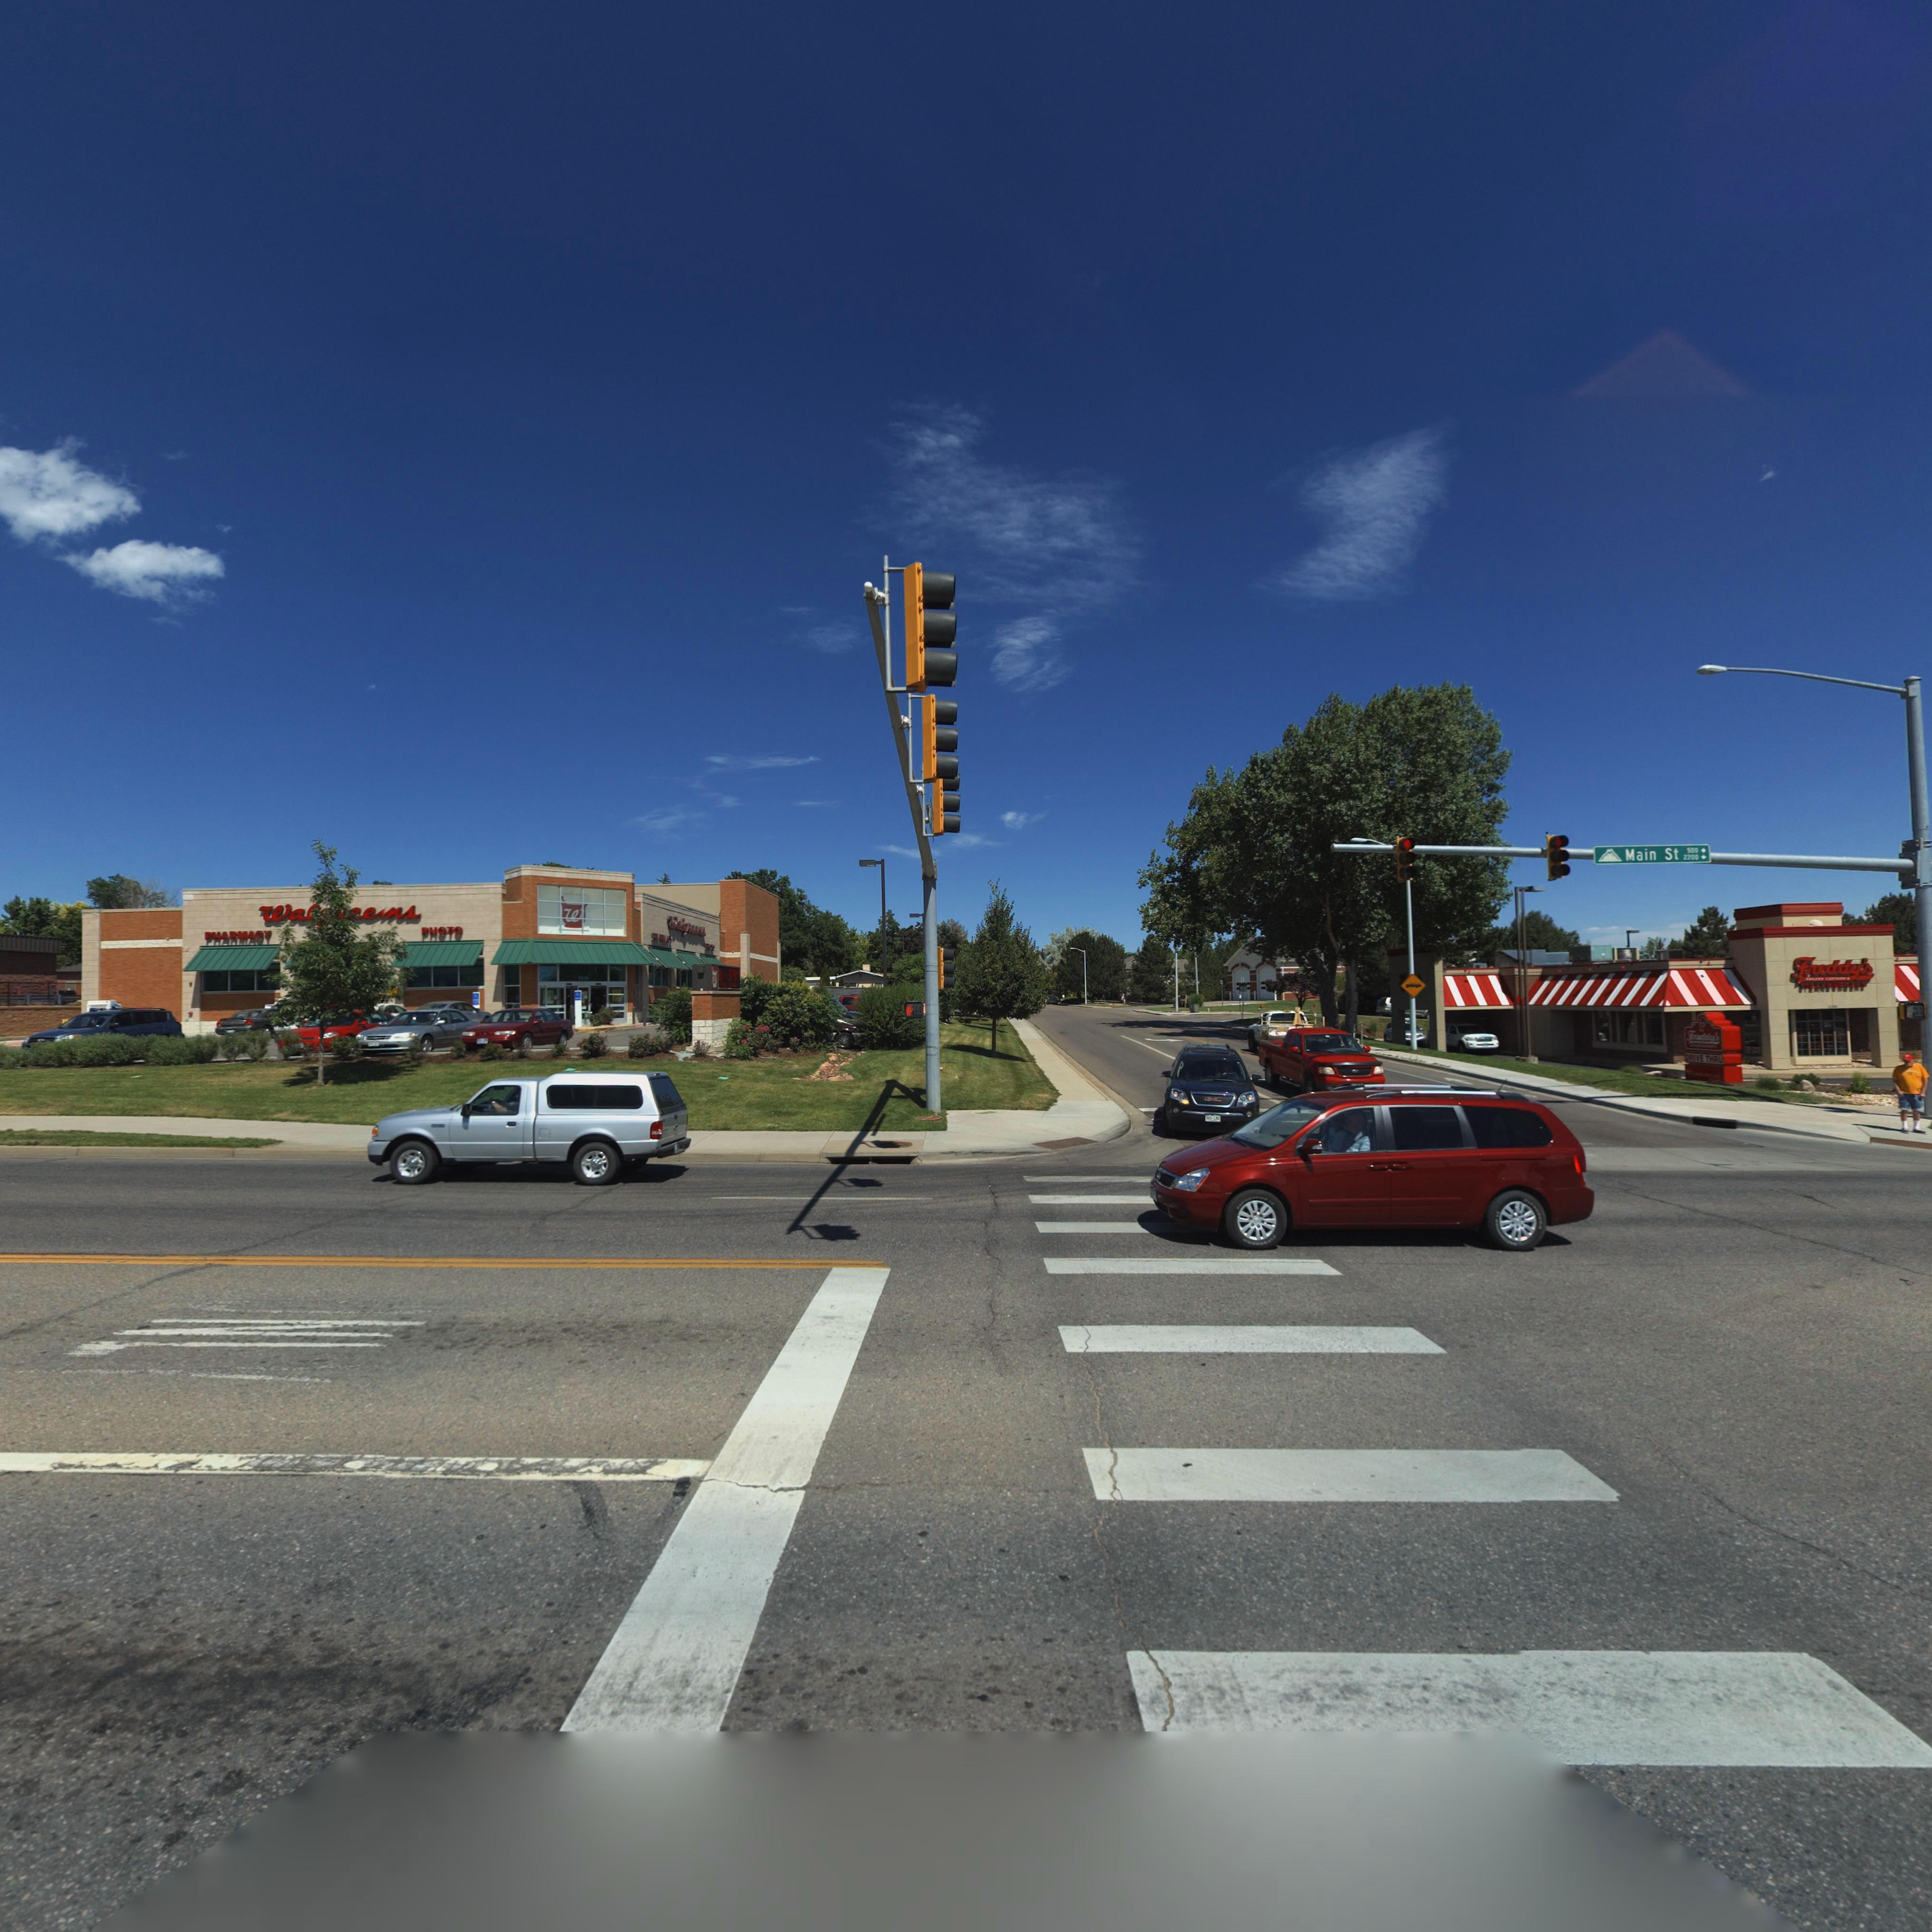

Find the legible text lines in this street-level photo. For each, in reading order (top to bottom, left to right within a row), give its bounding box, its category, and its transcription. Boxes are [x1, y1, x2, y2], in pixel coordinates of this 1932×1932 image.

[1625, 847, 1679, 861] StreetName: Main St
[1687, 847, 1698, 853] StreetNumberRange: 500
[1683, 854, 1707, 860] StreetNumberRange: 2200 ->
[258, 903, 421, 927] BusinessName: Wa****e*ns
[1790, 956, 1874, 984] BusinessName: Freddy's
[1686, 1029, 1719, 1044] BusinessName: Fr*dd*'s